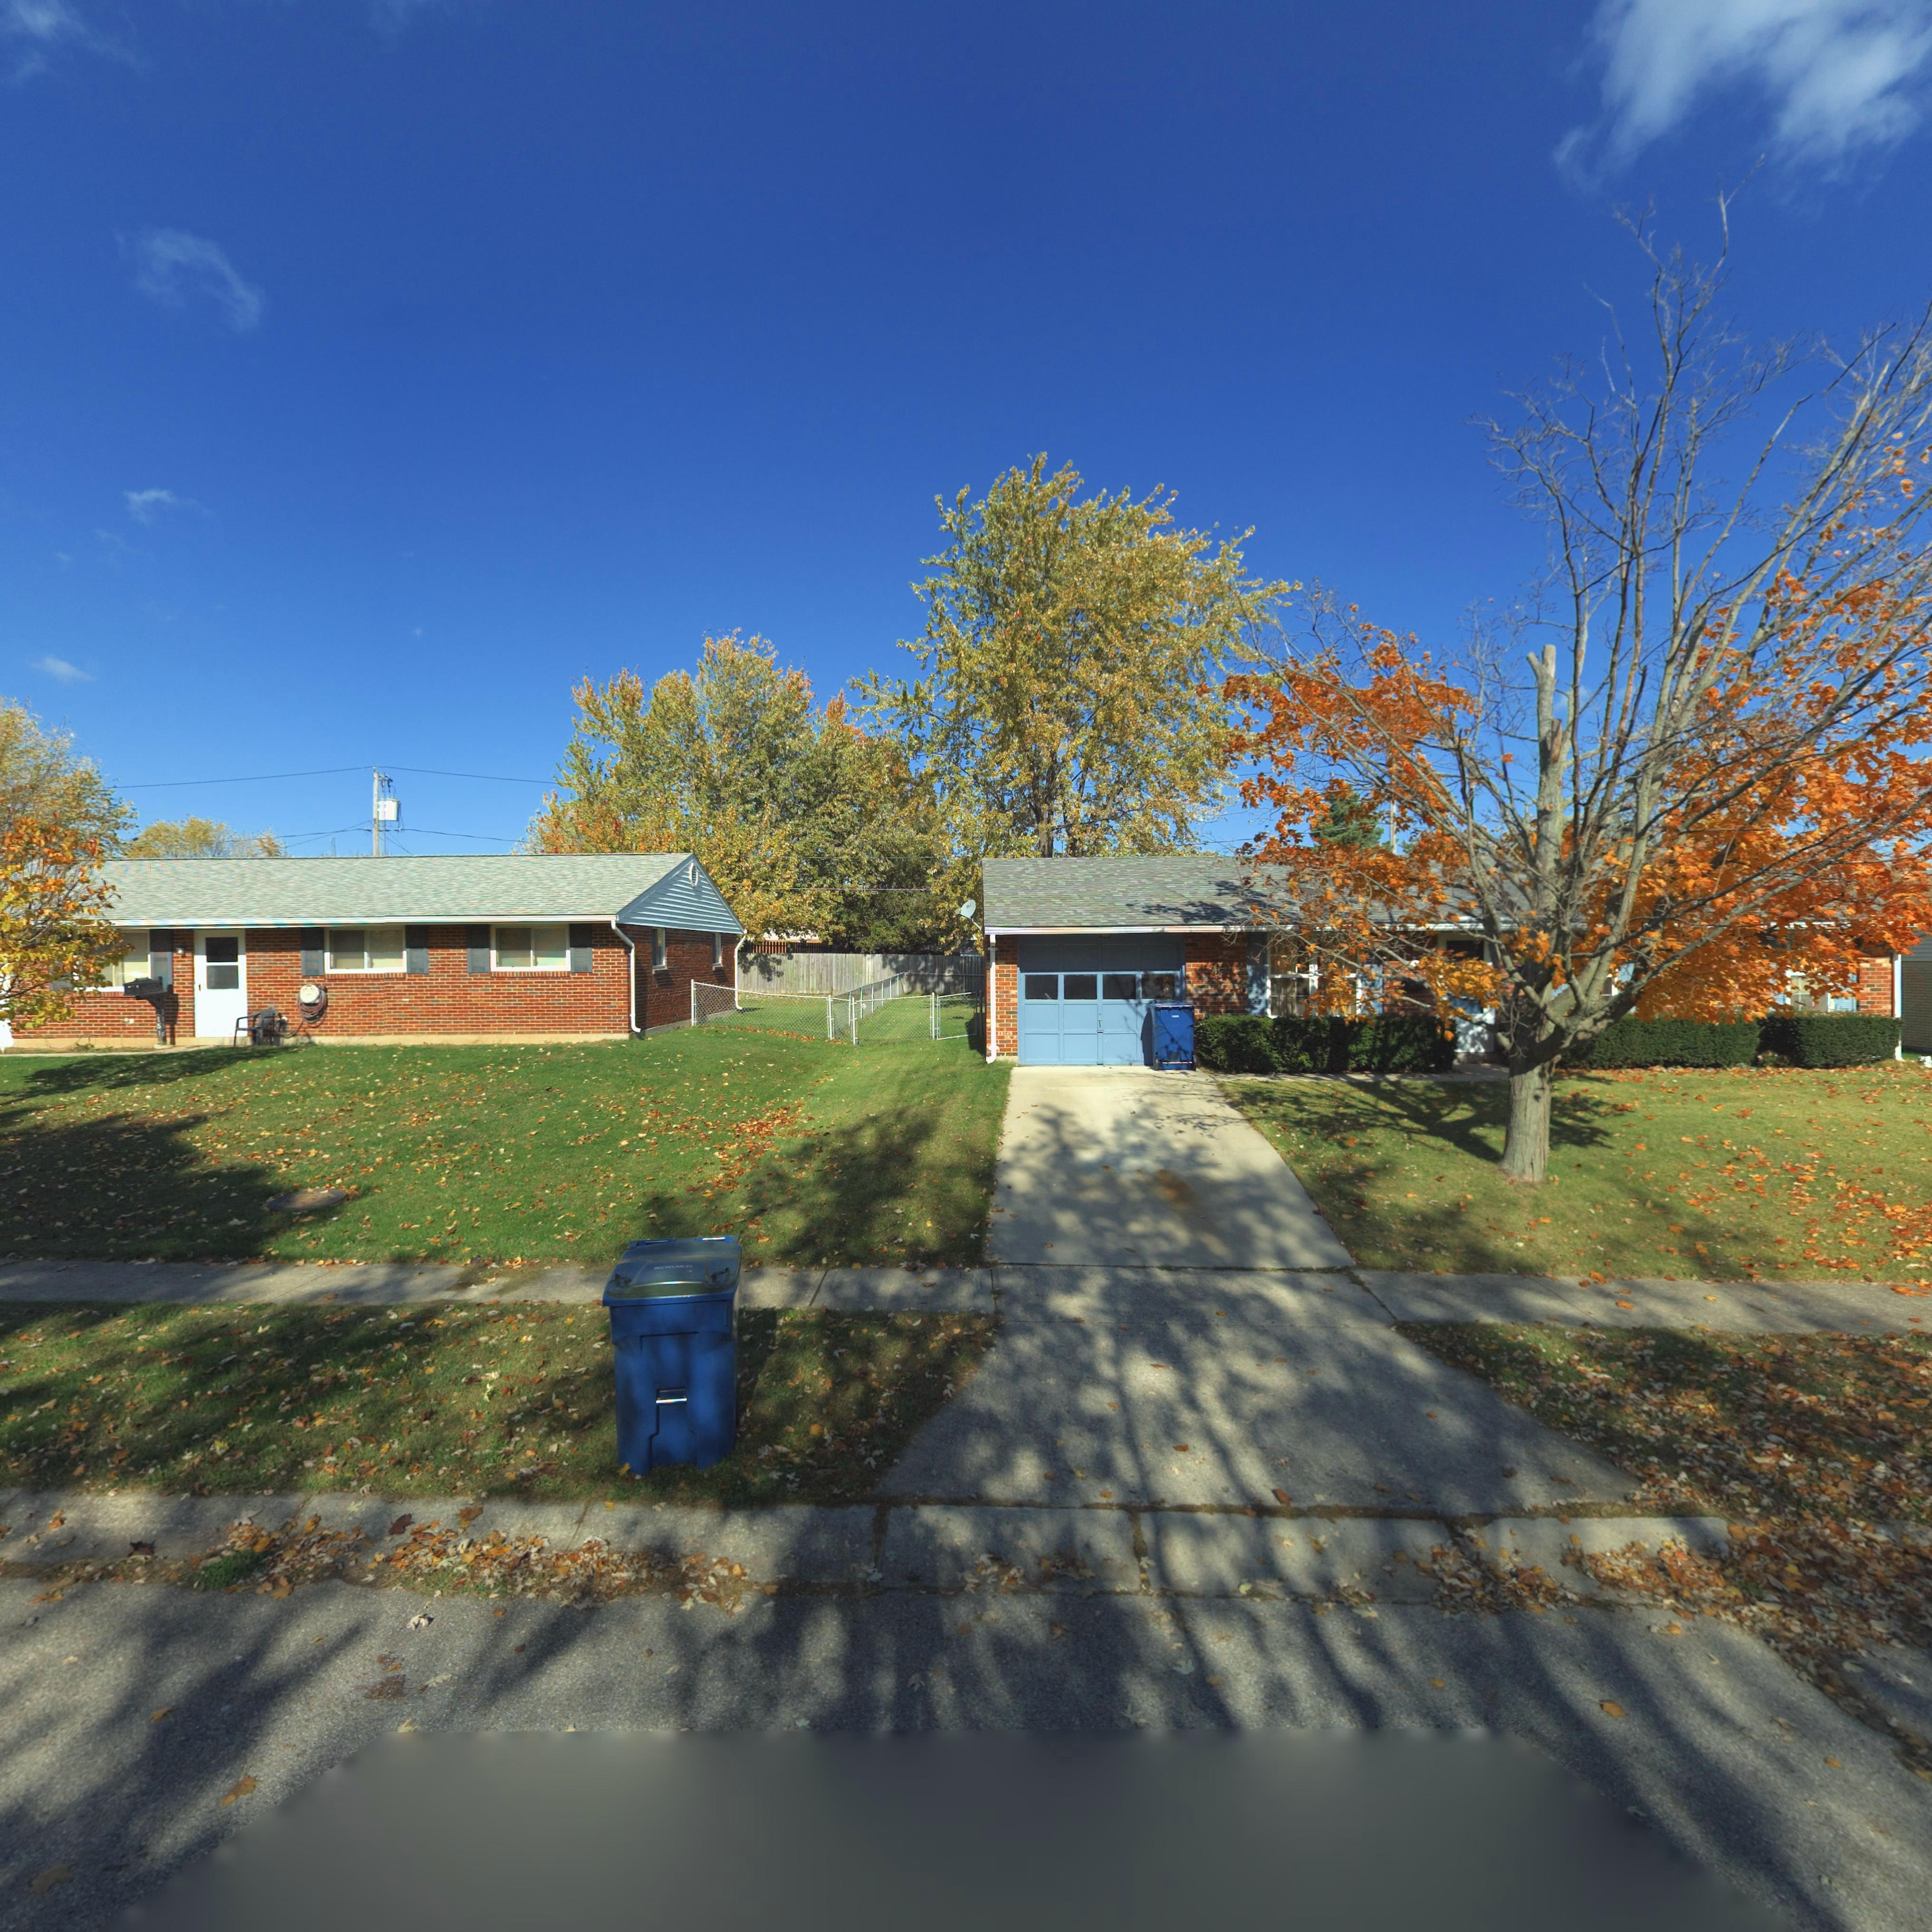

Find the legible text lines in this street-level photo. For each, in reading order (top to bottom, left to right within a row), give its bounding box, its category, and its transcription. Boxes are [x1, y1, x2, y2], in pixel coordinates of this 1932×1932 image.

[155, 1008, 163, 1038] StreetNumber: **51